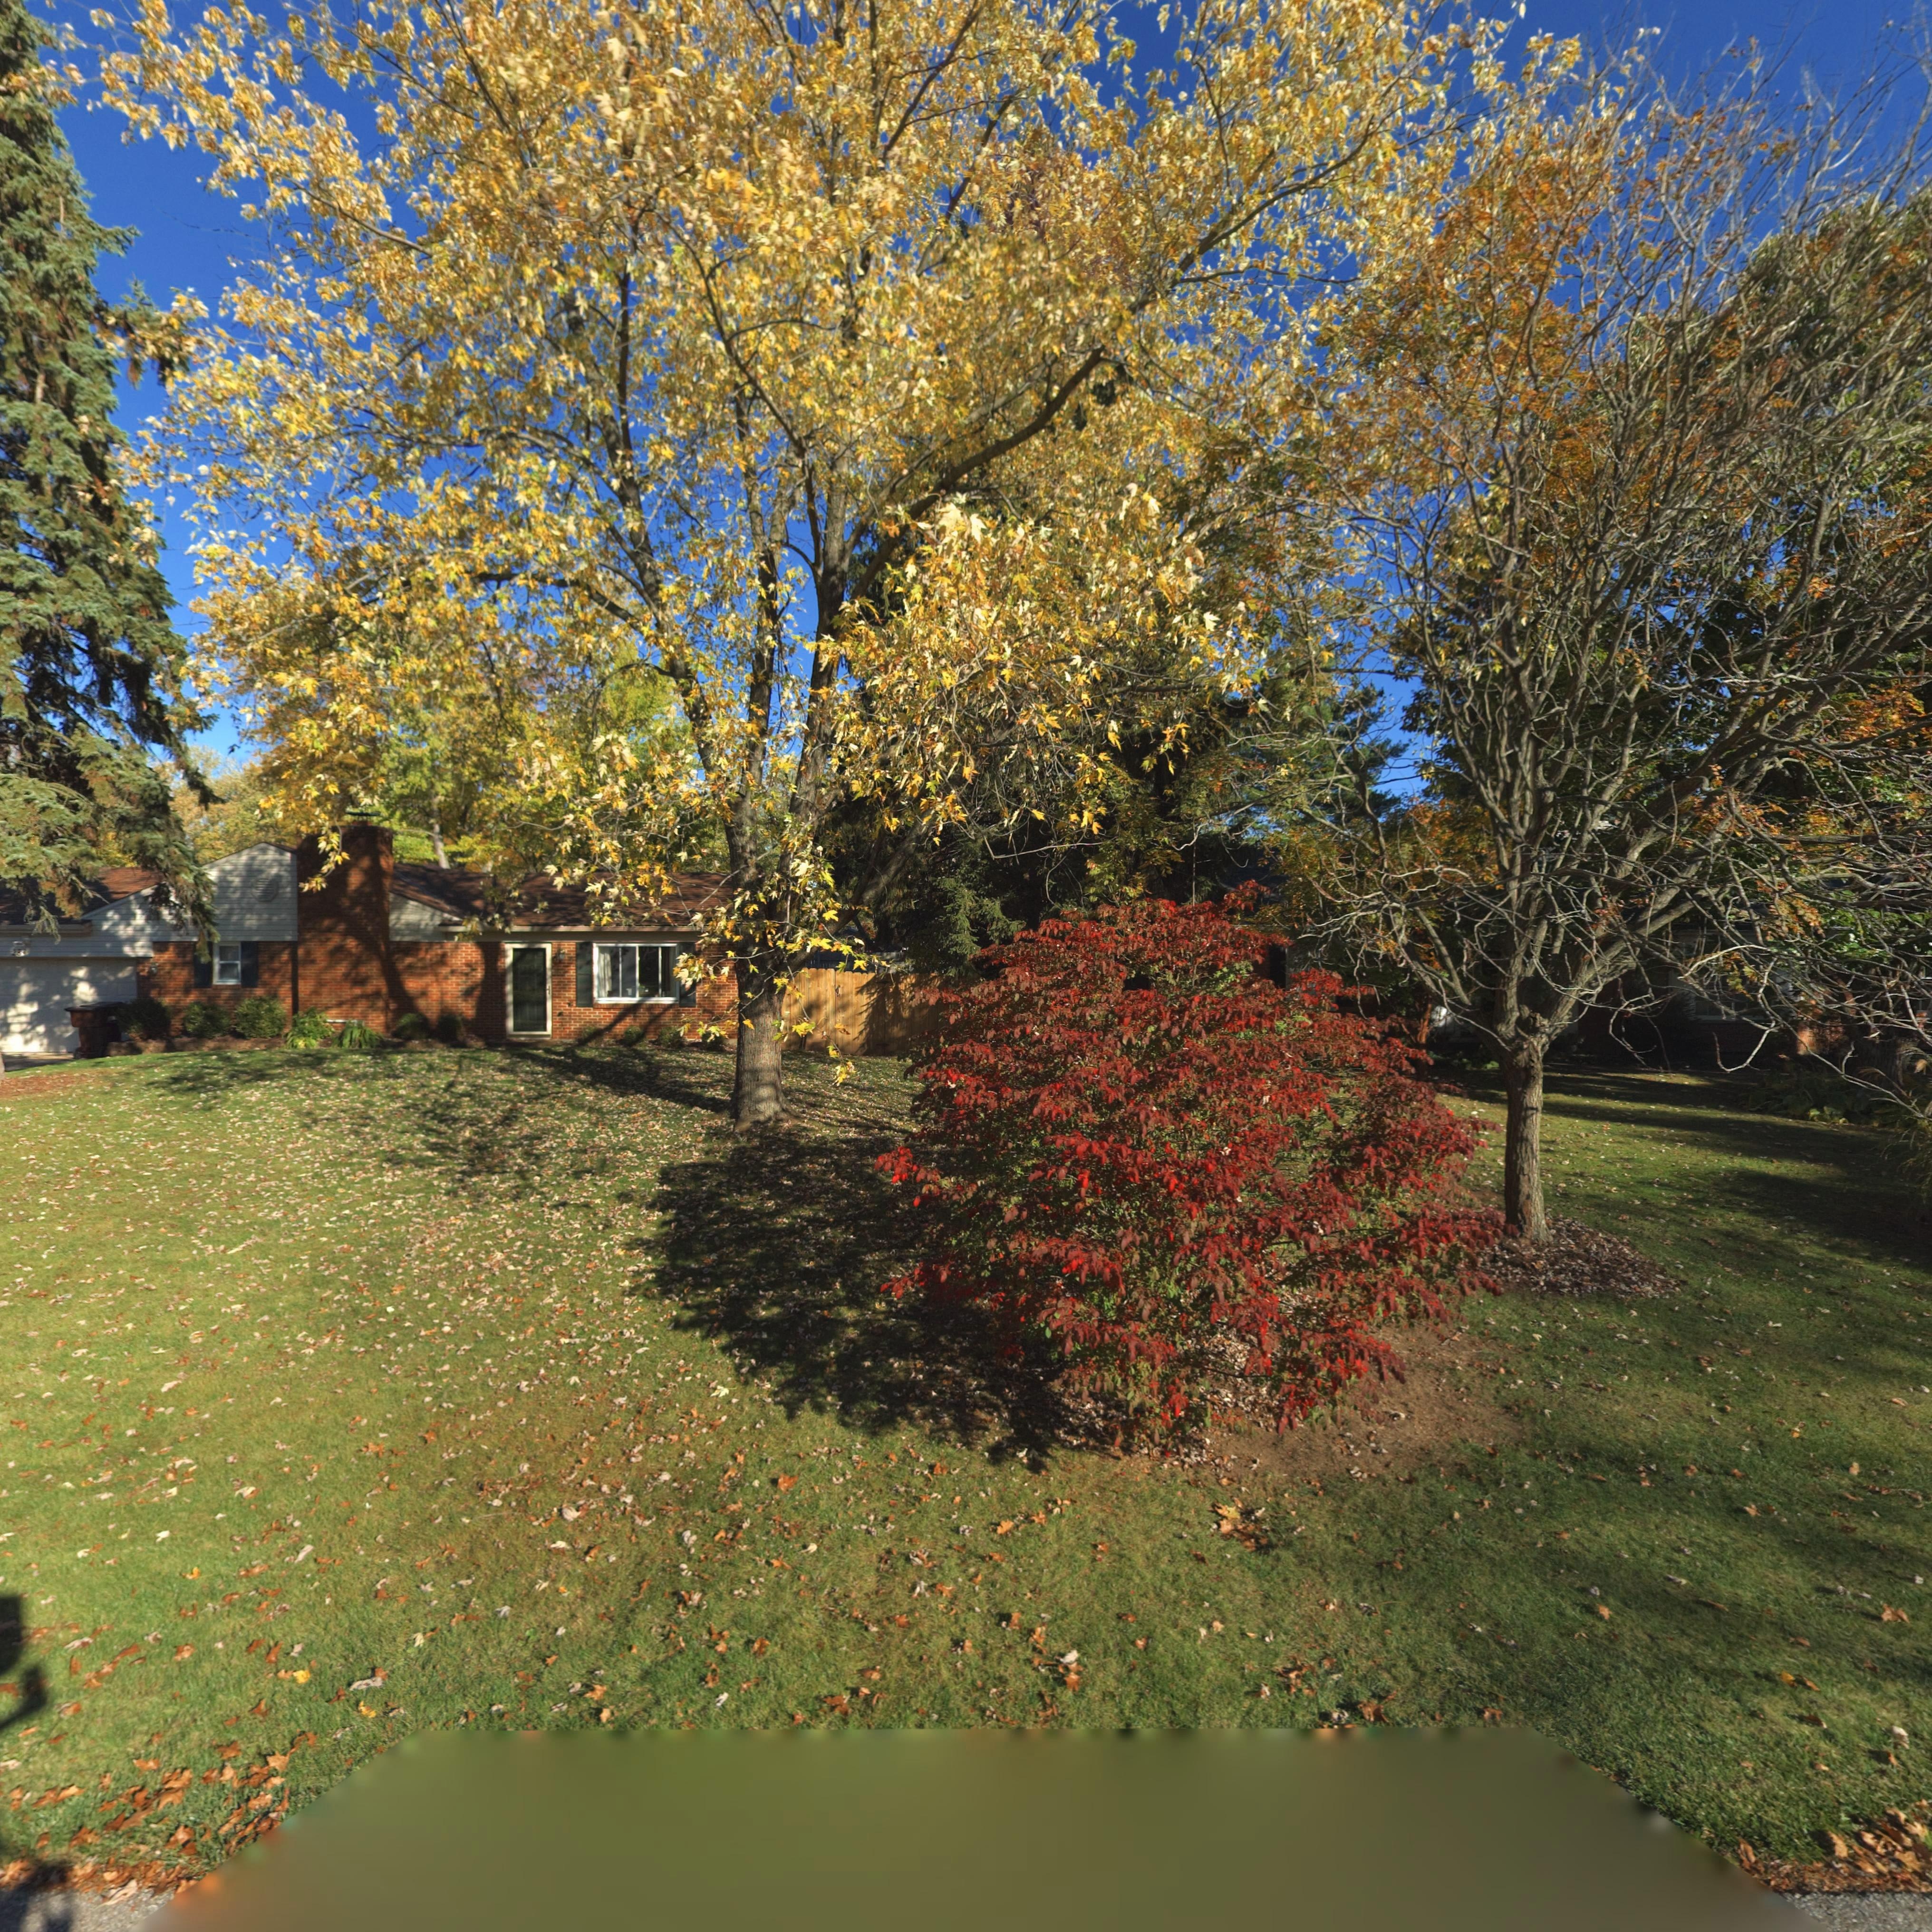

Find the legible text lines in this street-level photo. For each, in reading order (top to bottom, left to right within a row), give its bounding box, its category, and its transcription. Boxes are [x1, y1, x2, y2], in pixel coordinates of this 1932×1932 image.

[11, 947, 27, 956] StreetNumber: 284